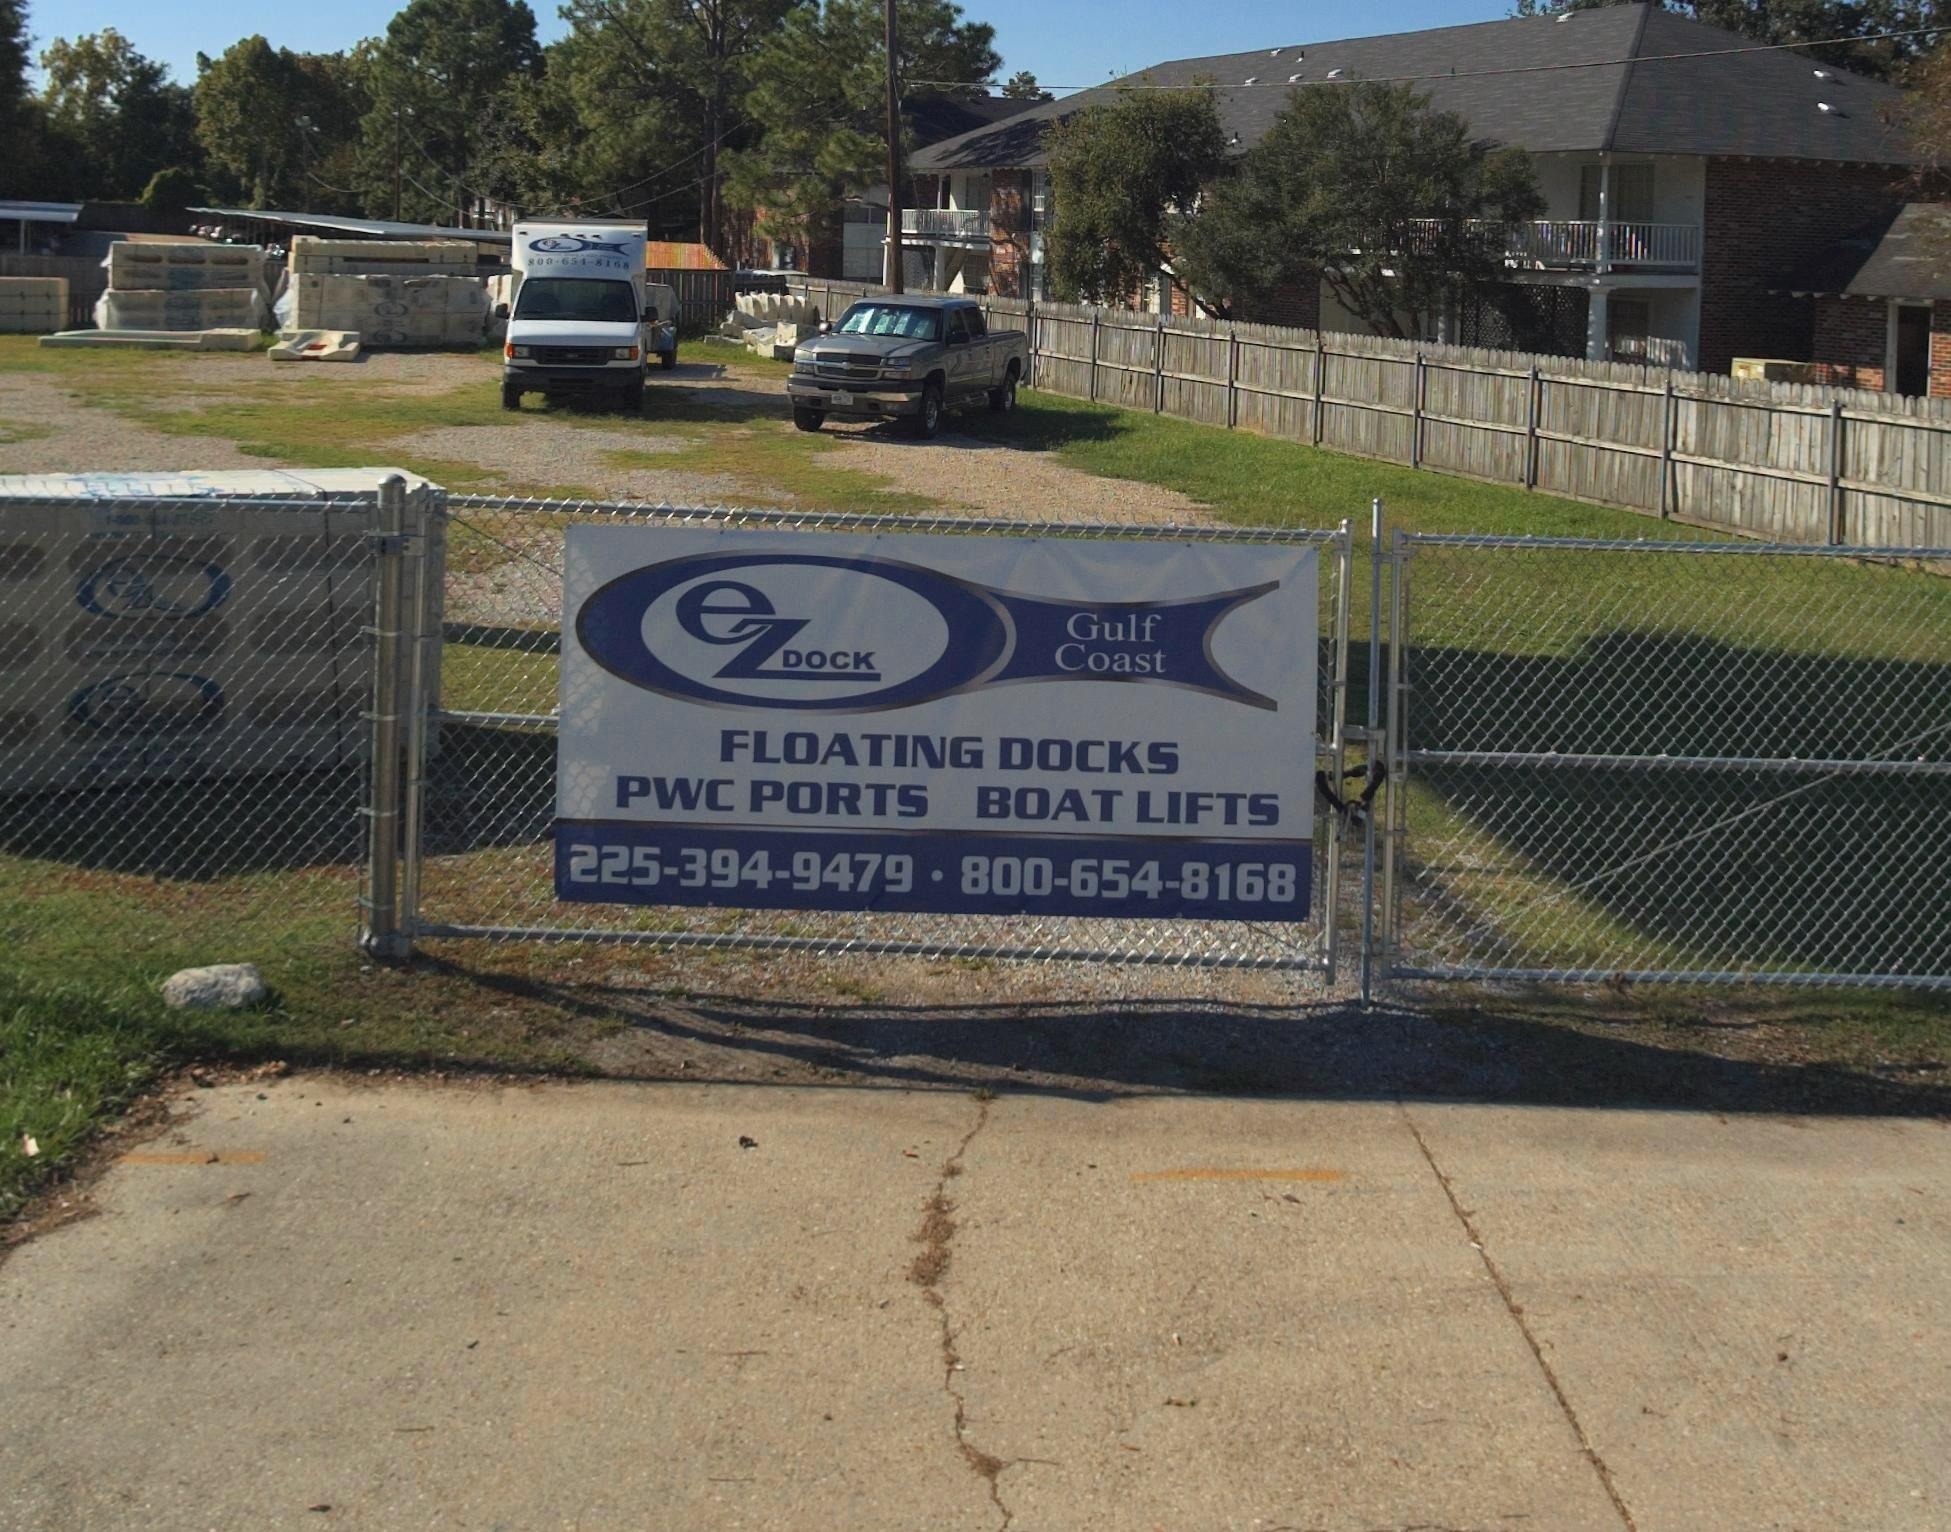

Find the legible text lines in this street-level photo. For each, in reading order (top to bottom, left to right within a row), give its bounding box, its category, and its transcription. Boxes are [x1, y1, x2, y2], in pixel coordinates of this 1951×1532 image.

[559, 256, 632, 272] None: 6540-8108
[670, 574, 889, 686] BusinessName: eZ DOCK
[1058, 604, 1169, 647] None: Gulf
[1051, 640, 1170, 677] None: Coast
[717, 725, 1183, 779] None: FLOATING DOCKS
[612, 769, 933, 823] None: PWC PORTS
[972, 780, 1284, 832] None: BOAT LIFTS
[564, 839, 1302, 906] None: 225-394-9479 * 800-654-8168